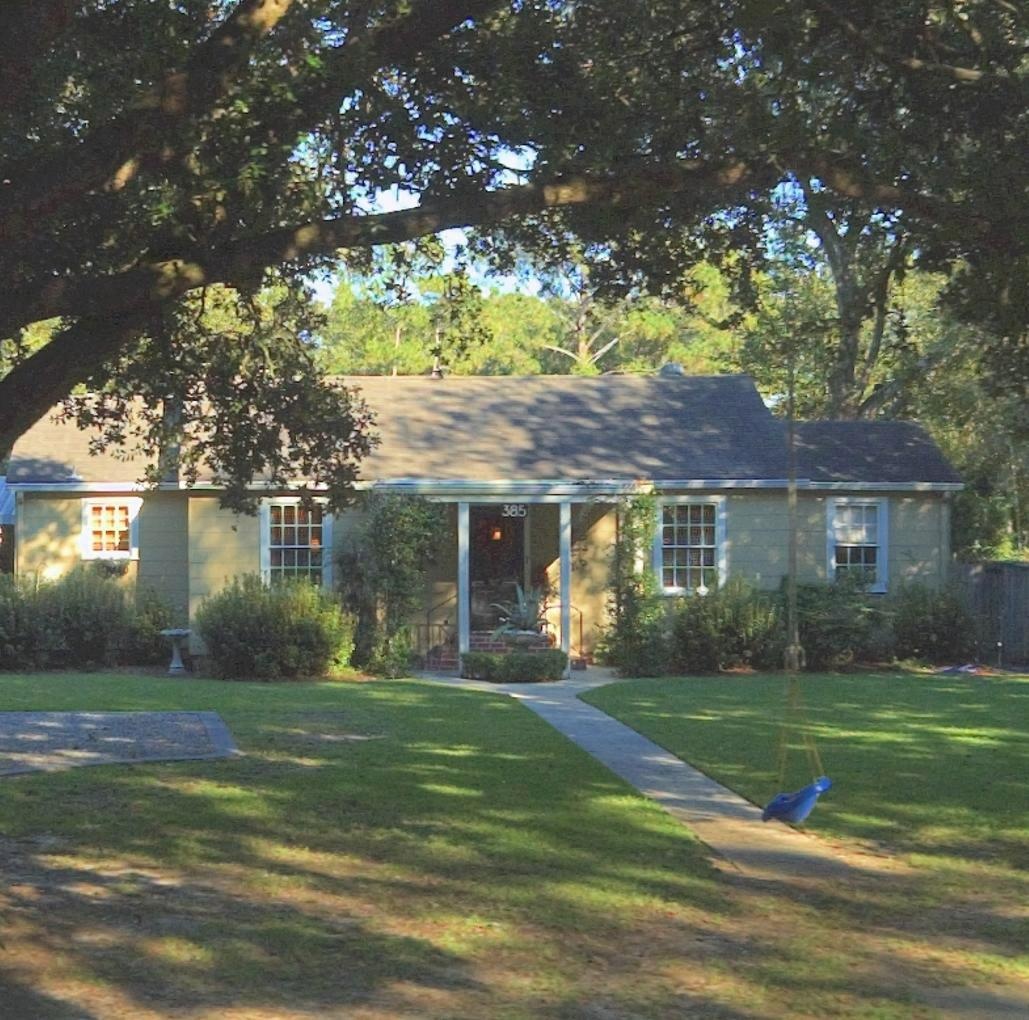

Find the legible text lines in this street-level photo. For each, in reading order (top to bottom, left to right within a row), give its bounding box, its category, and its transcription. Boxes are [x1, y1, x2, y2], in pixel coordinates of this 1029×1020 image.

[500, 503, 528, 518] StreetNumber: 385